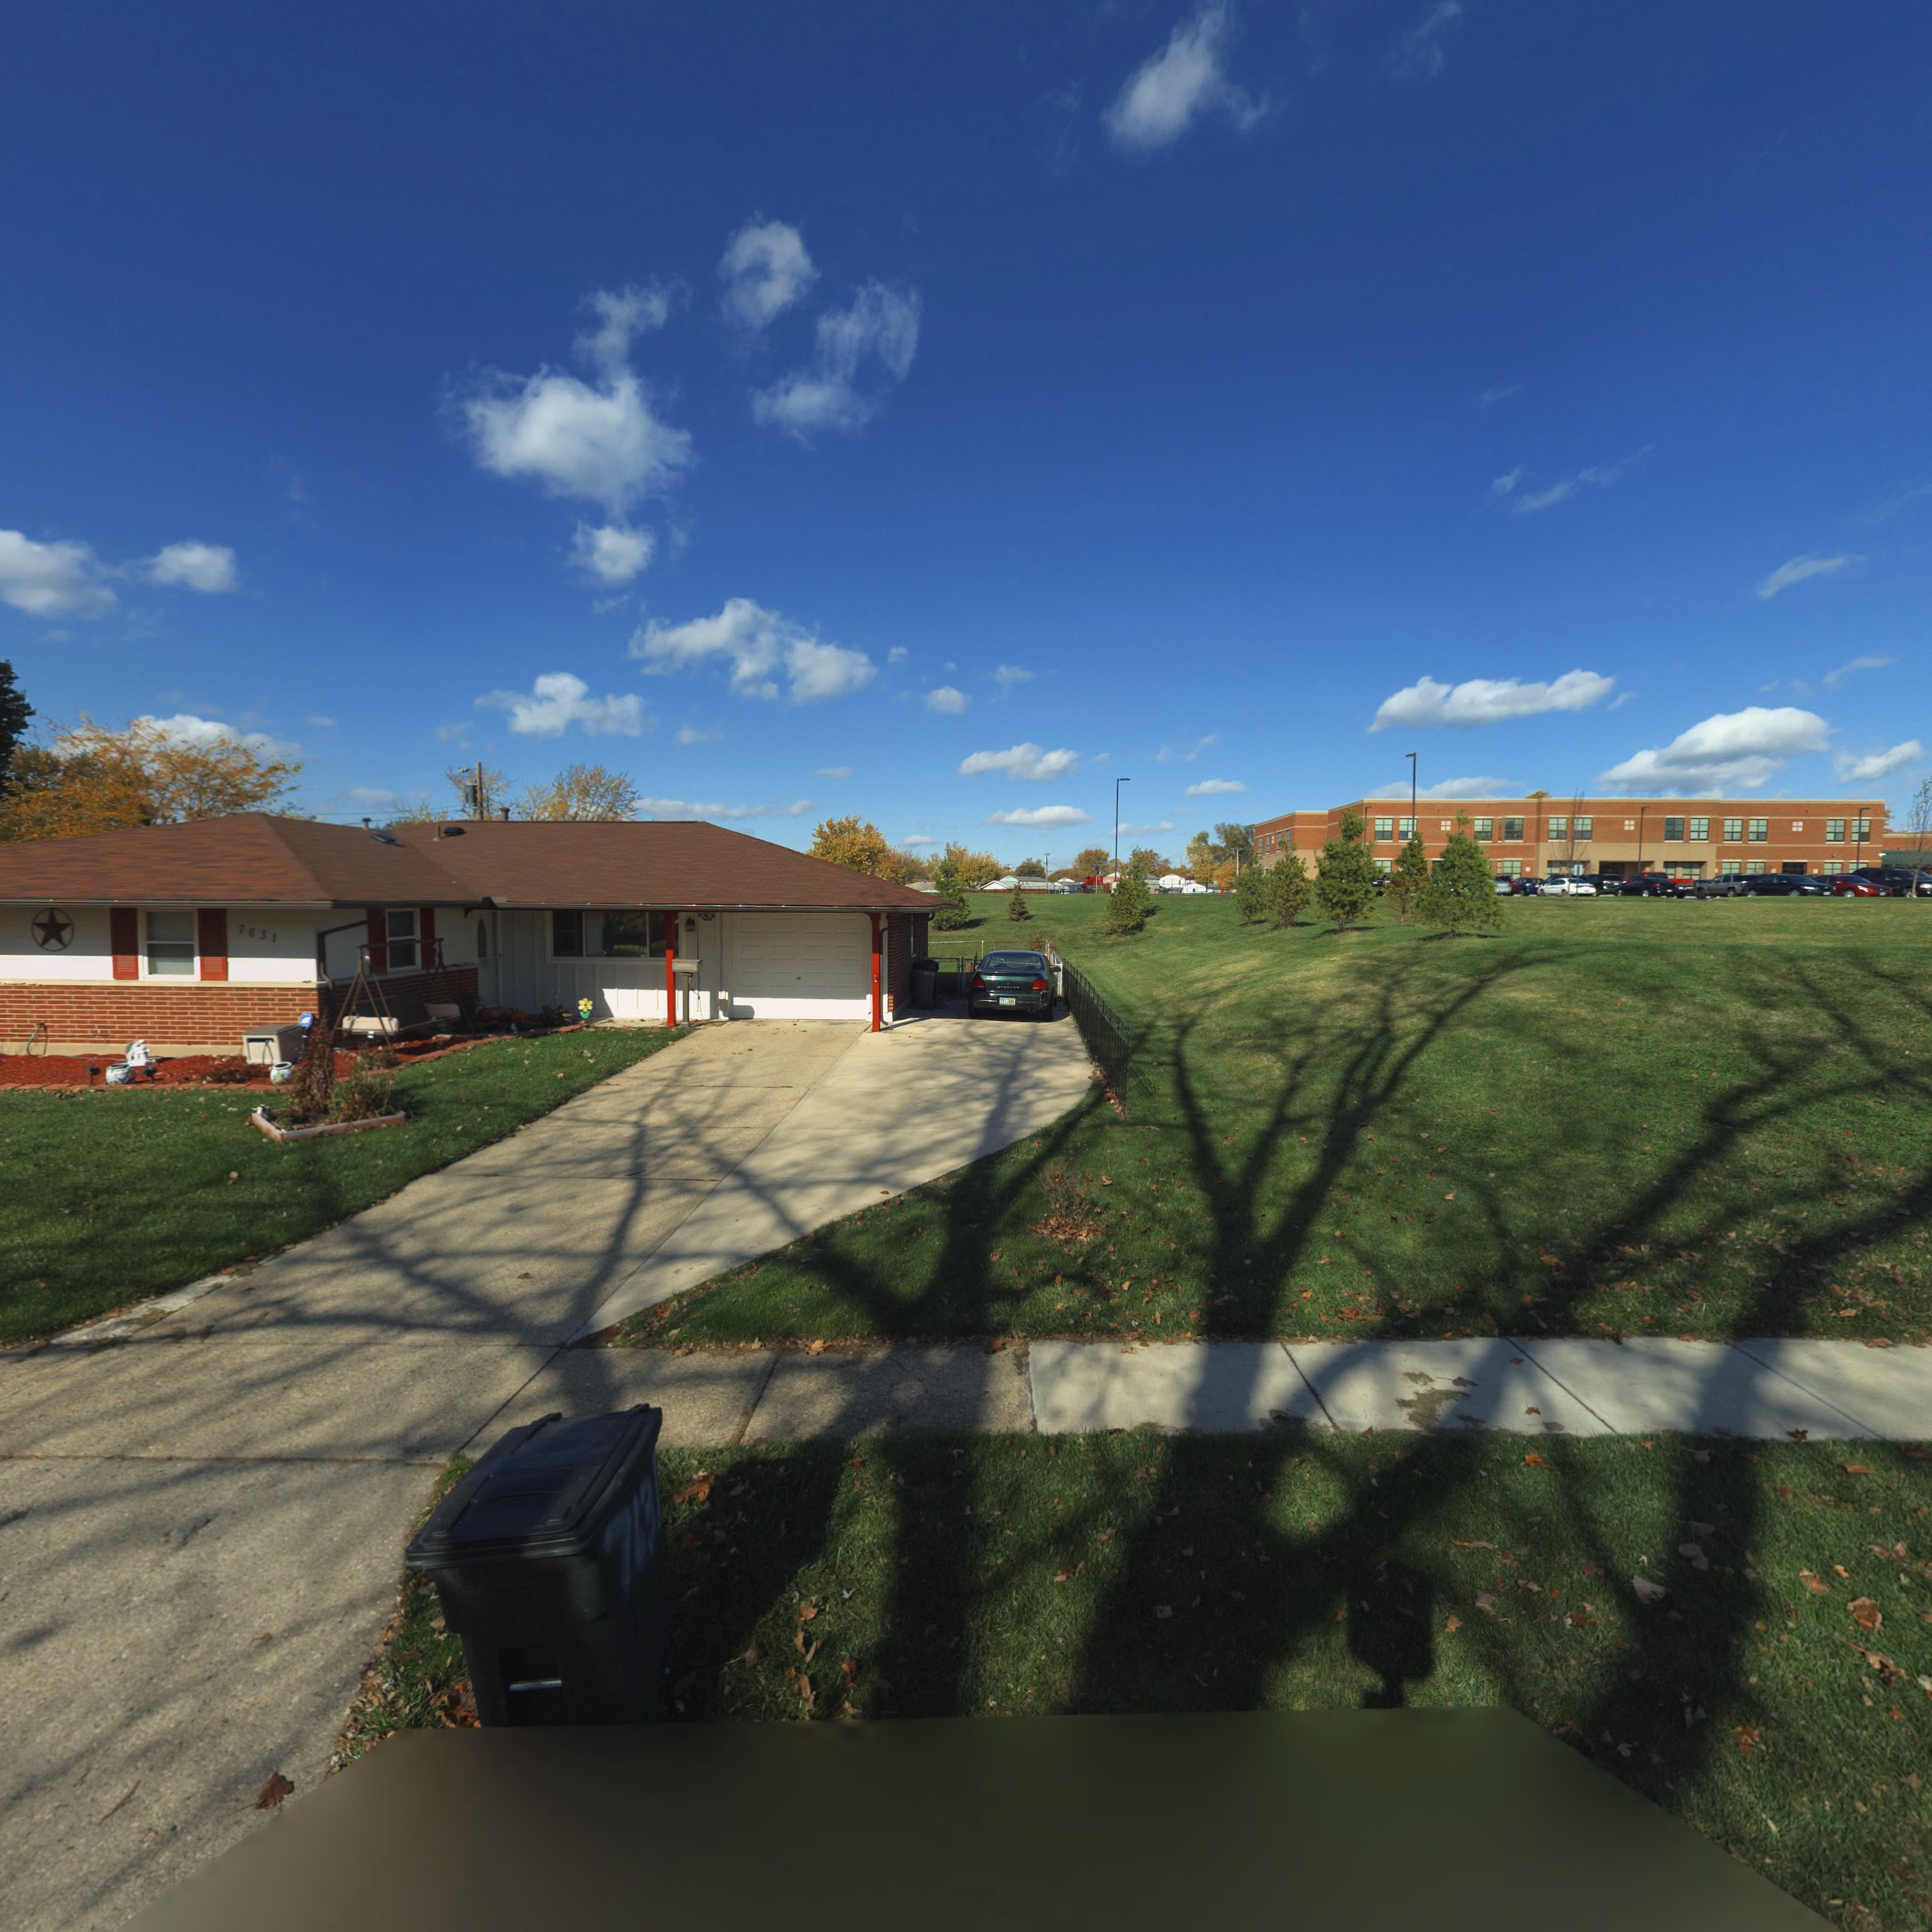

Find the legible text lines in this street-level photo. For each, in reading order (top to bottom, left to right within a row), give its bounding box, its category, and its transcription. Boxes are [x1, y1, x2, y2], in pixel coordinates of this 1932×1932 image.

[238, 923, 278, 944] StreetNumber: 7631
[596, 1443, 664, 1607] StreetNumber: 7631